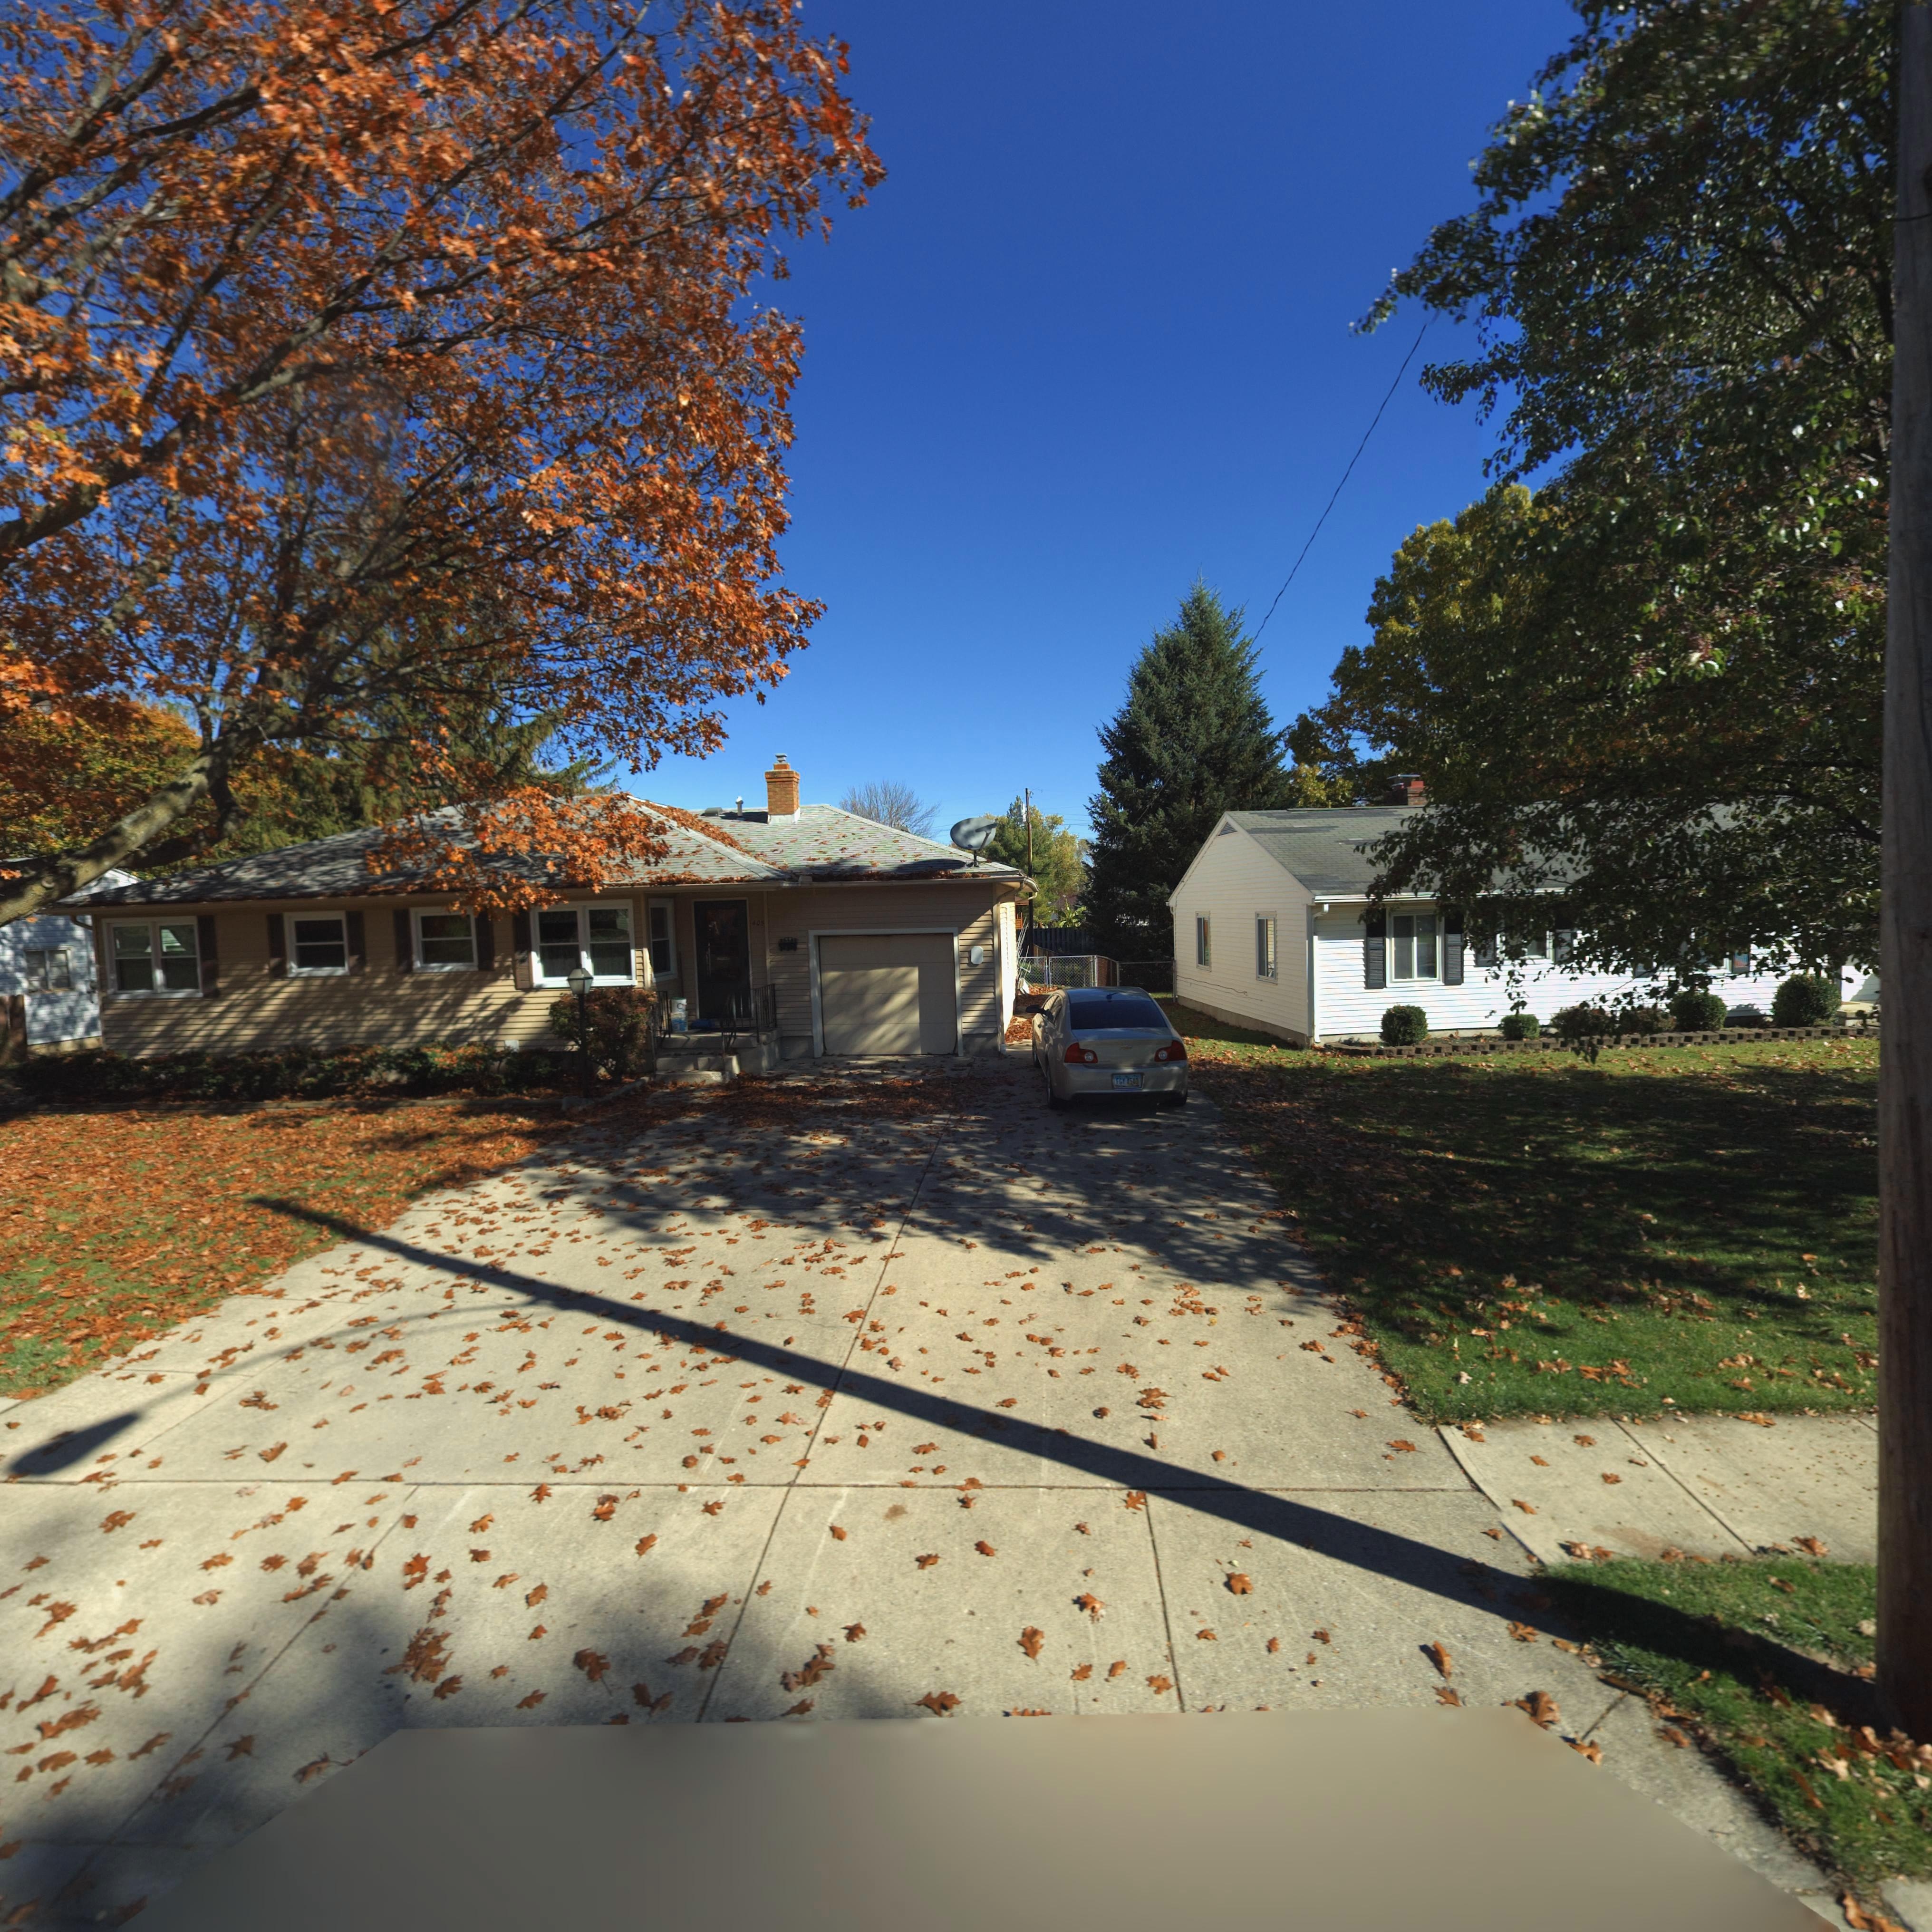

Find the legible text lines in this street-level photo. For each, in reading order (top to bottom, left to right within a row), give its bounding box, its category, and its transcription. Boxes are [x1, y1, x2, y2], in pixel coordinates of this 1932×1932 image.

[752, 920, 765, 926] StreetNumber: 405
[1115, 1077, 1140, 1085] None: FGY*4540